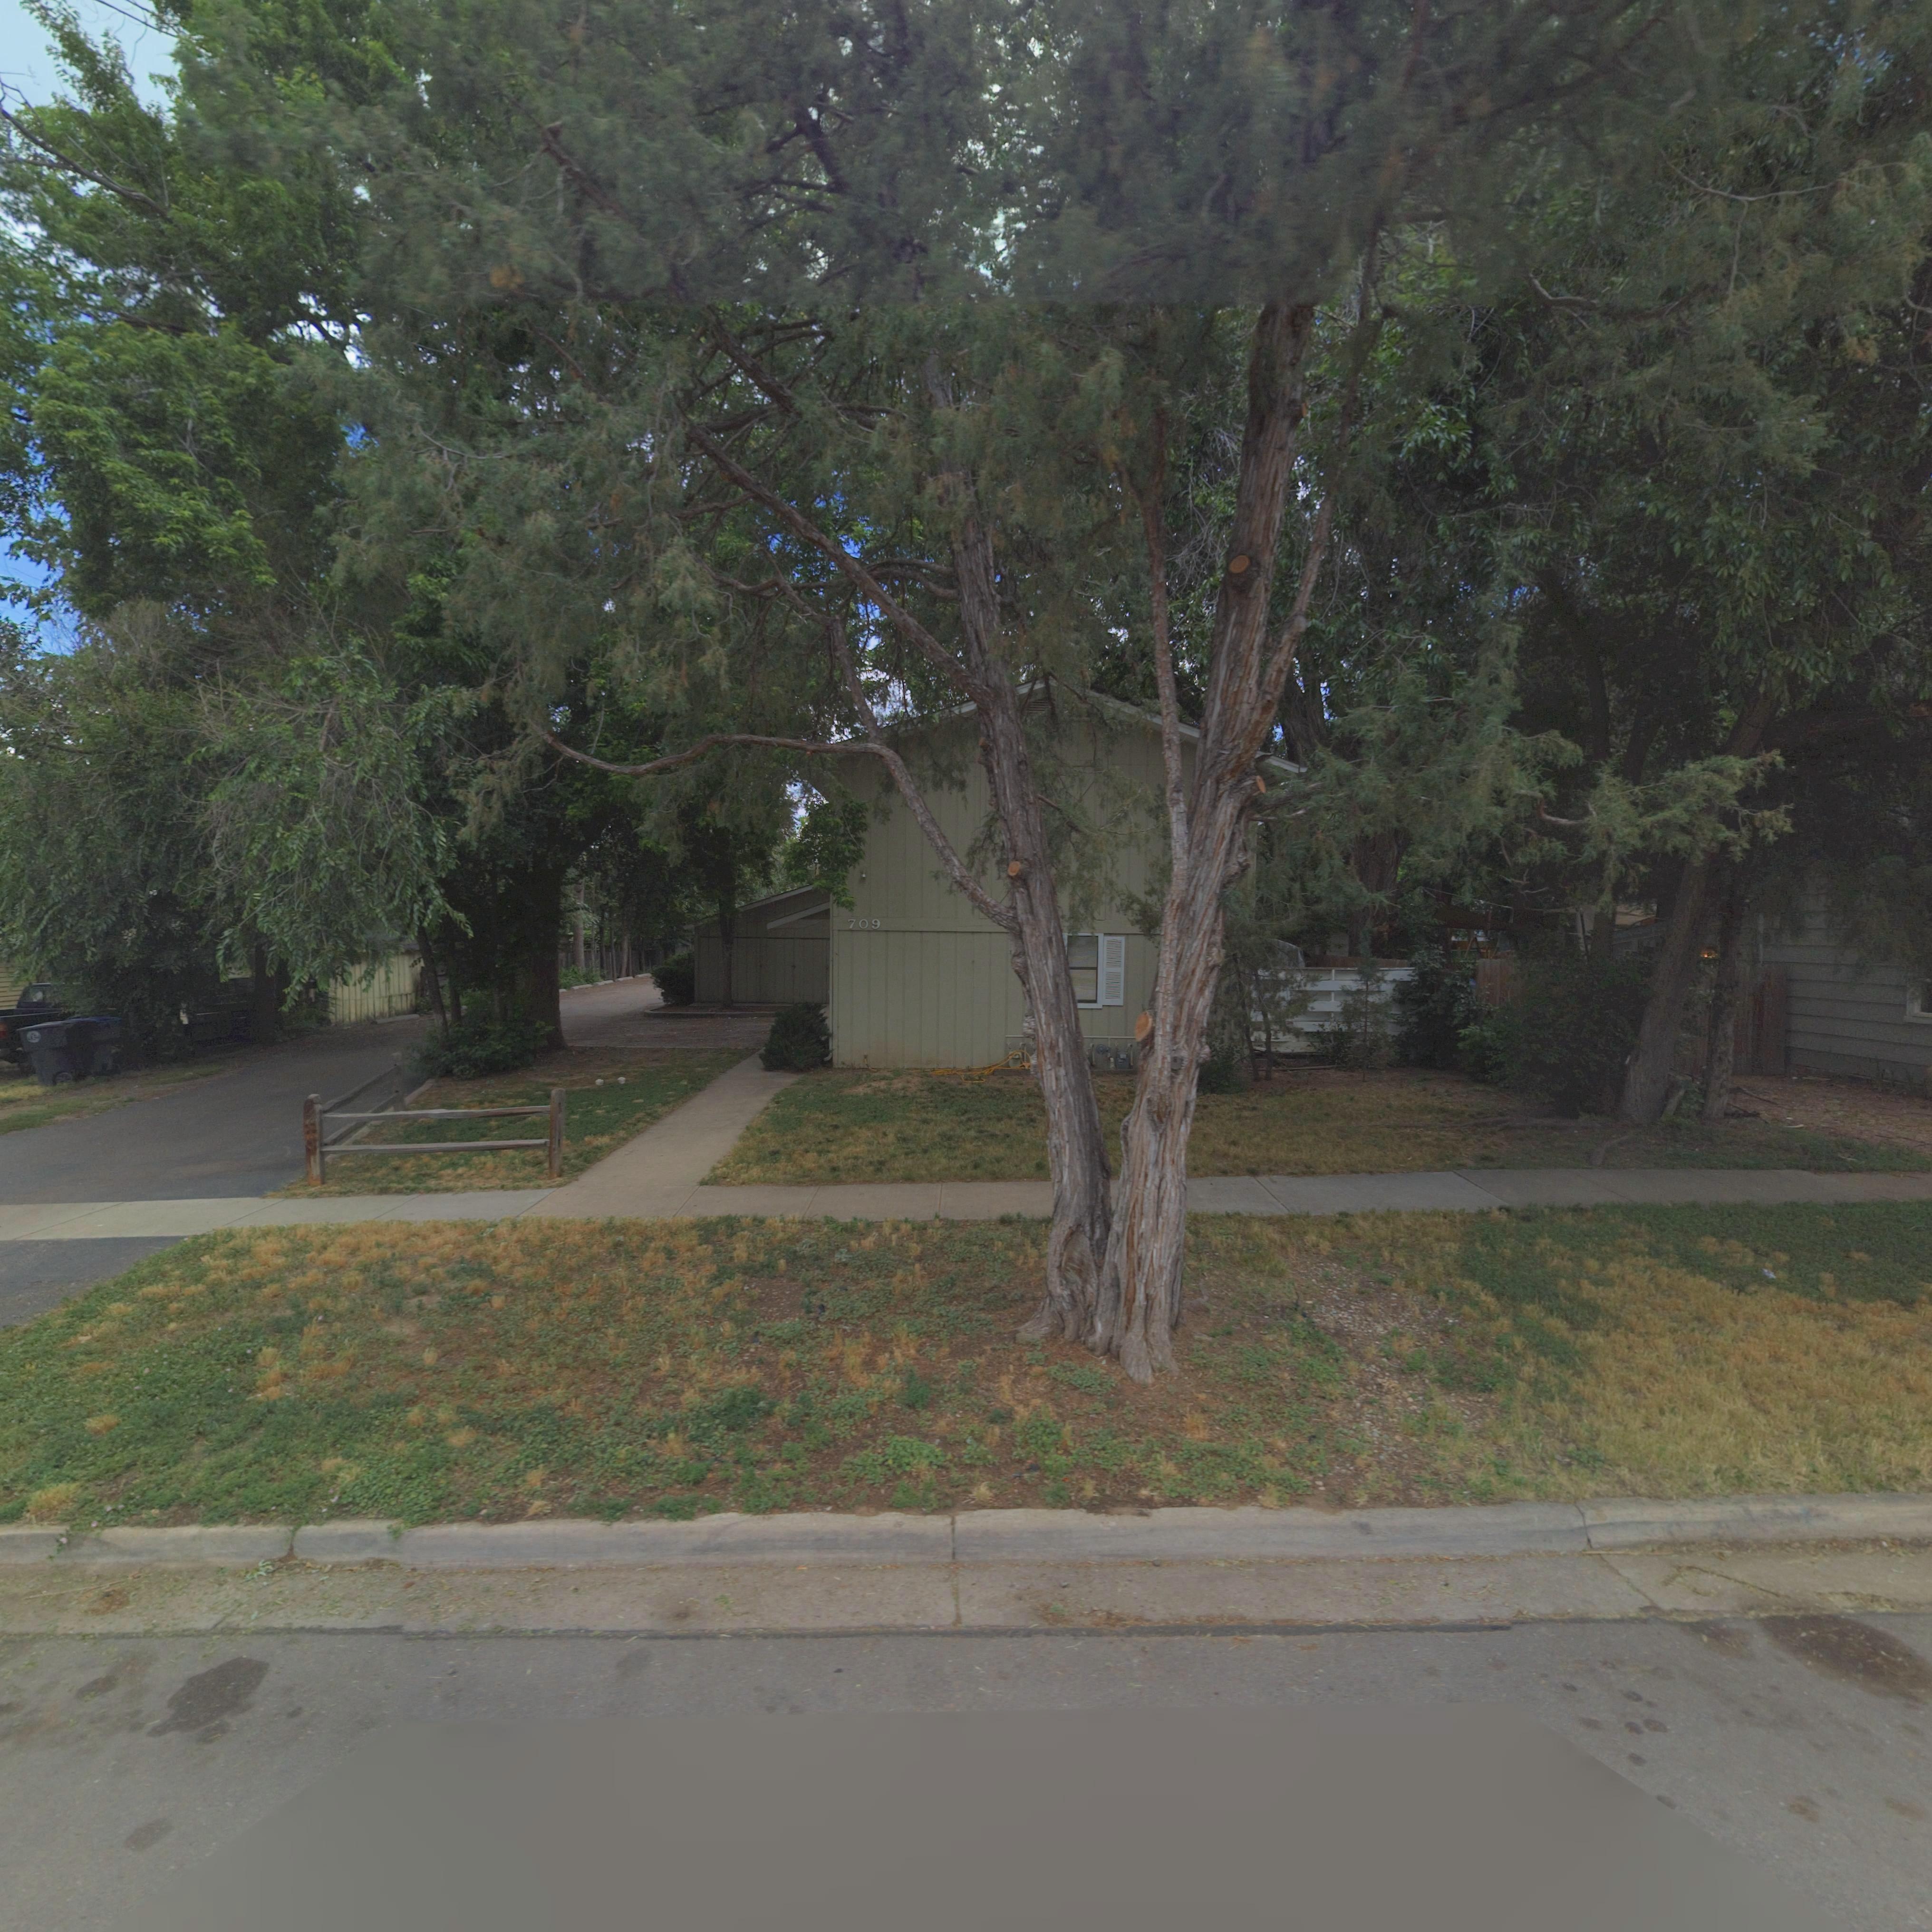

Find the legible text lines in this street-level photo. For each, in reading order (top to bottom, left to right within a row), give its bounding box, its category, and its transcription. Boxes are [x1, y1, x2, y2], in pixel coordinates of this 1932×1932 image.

[848, 918, 880, 929] StreetNumber: 709